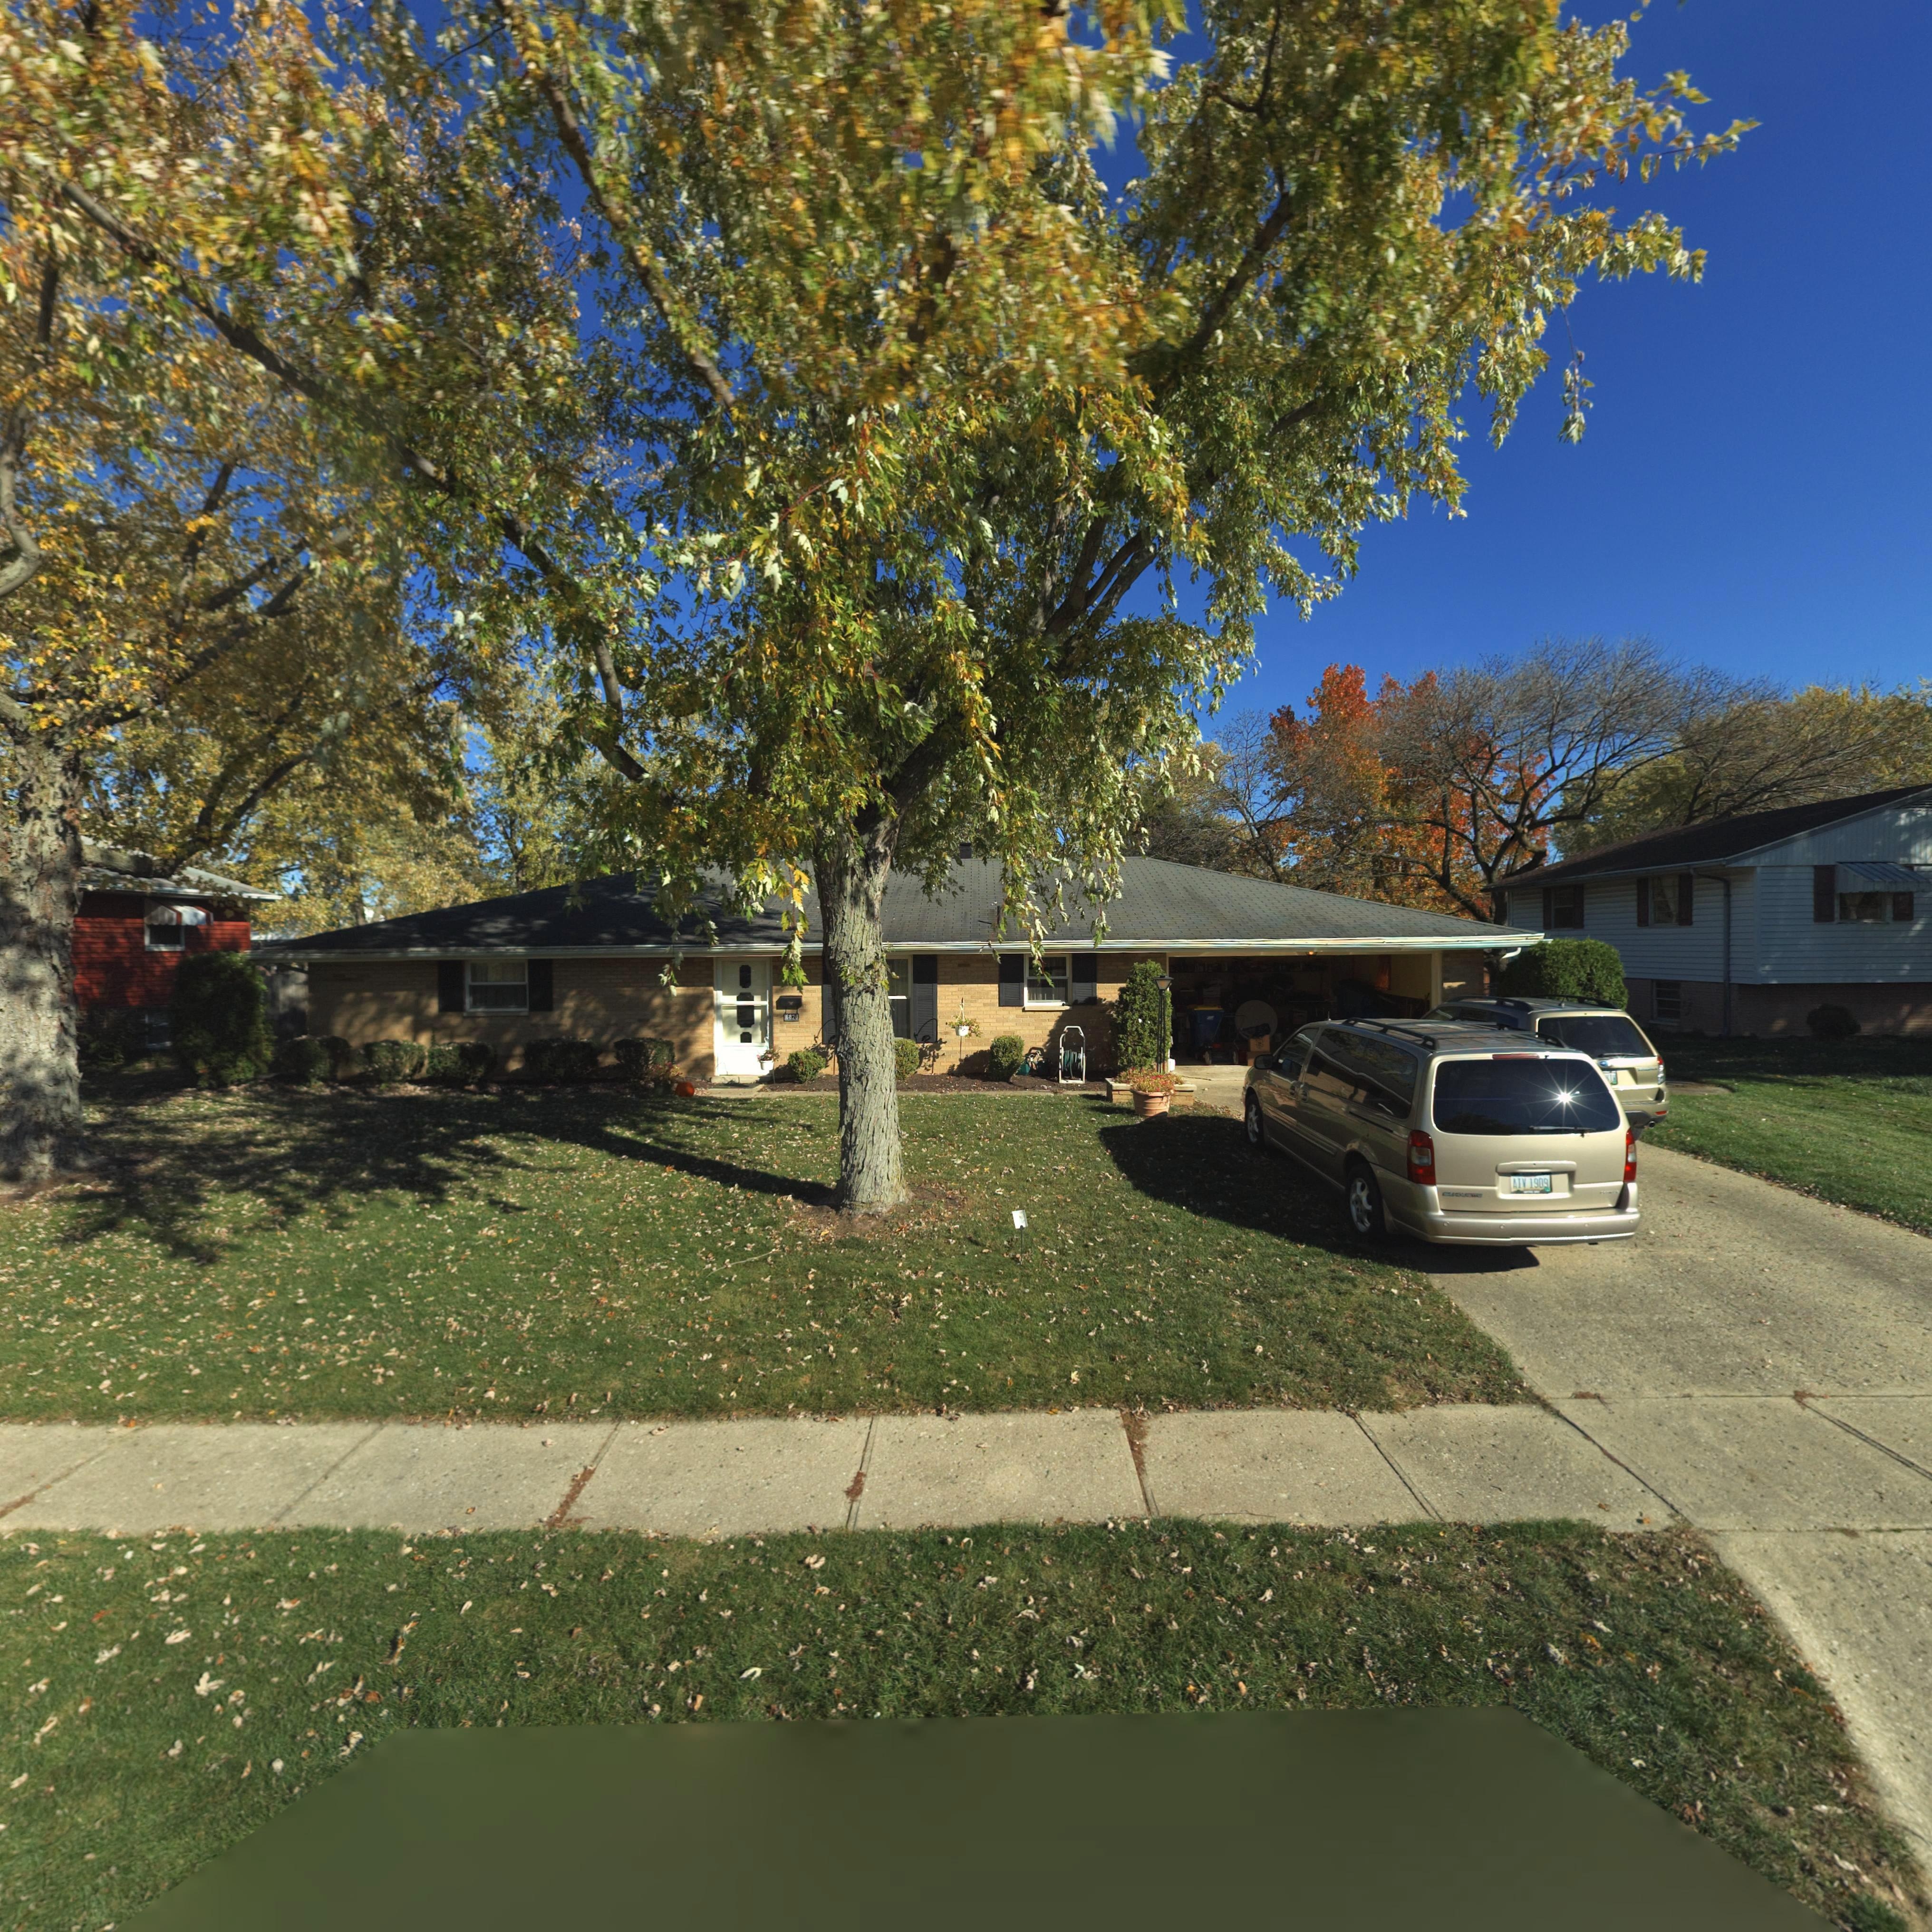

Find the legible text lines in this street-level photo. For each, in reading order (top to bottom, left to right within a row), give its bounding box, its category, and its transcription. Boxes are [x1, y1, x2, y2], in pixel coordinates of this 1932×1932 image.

[785, 1014, 799, 1020] StreetNumber: 6820